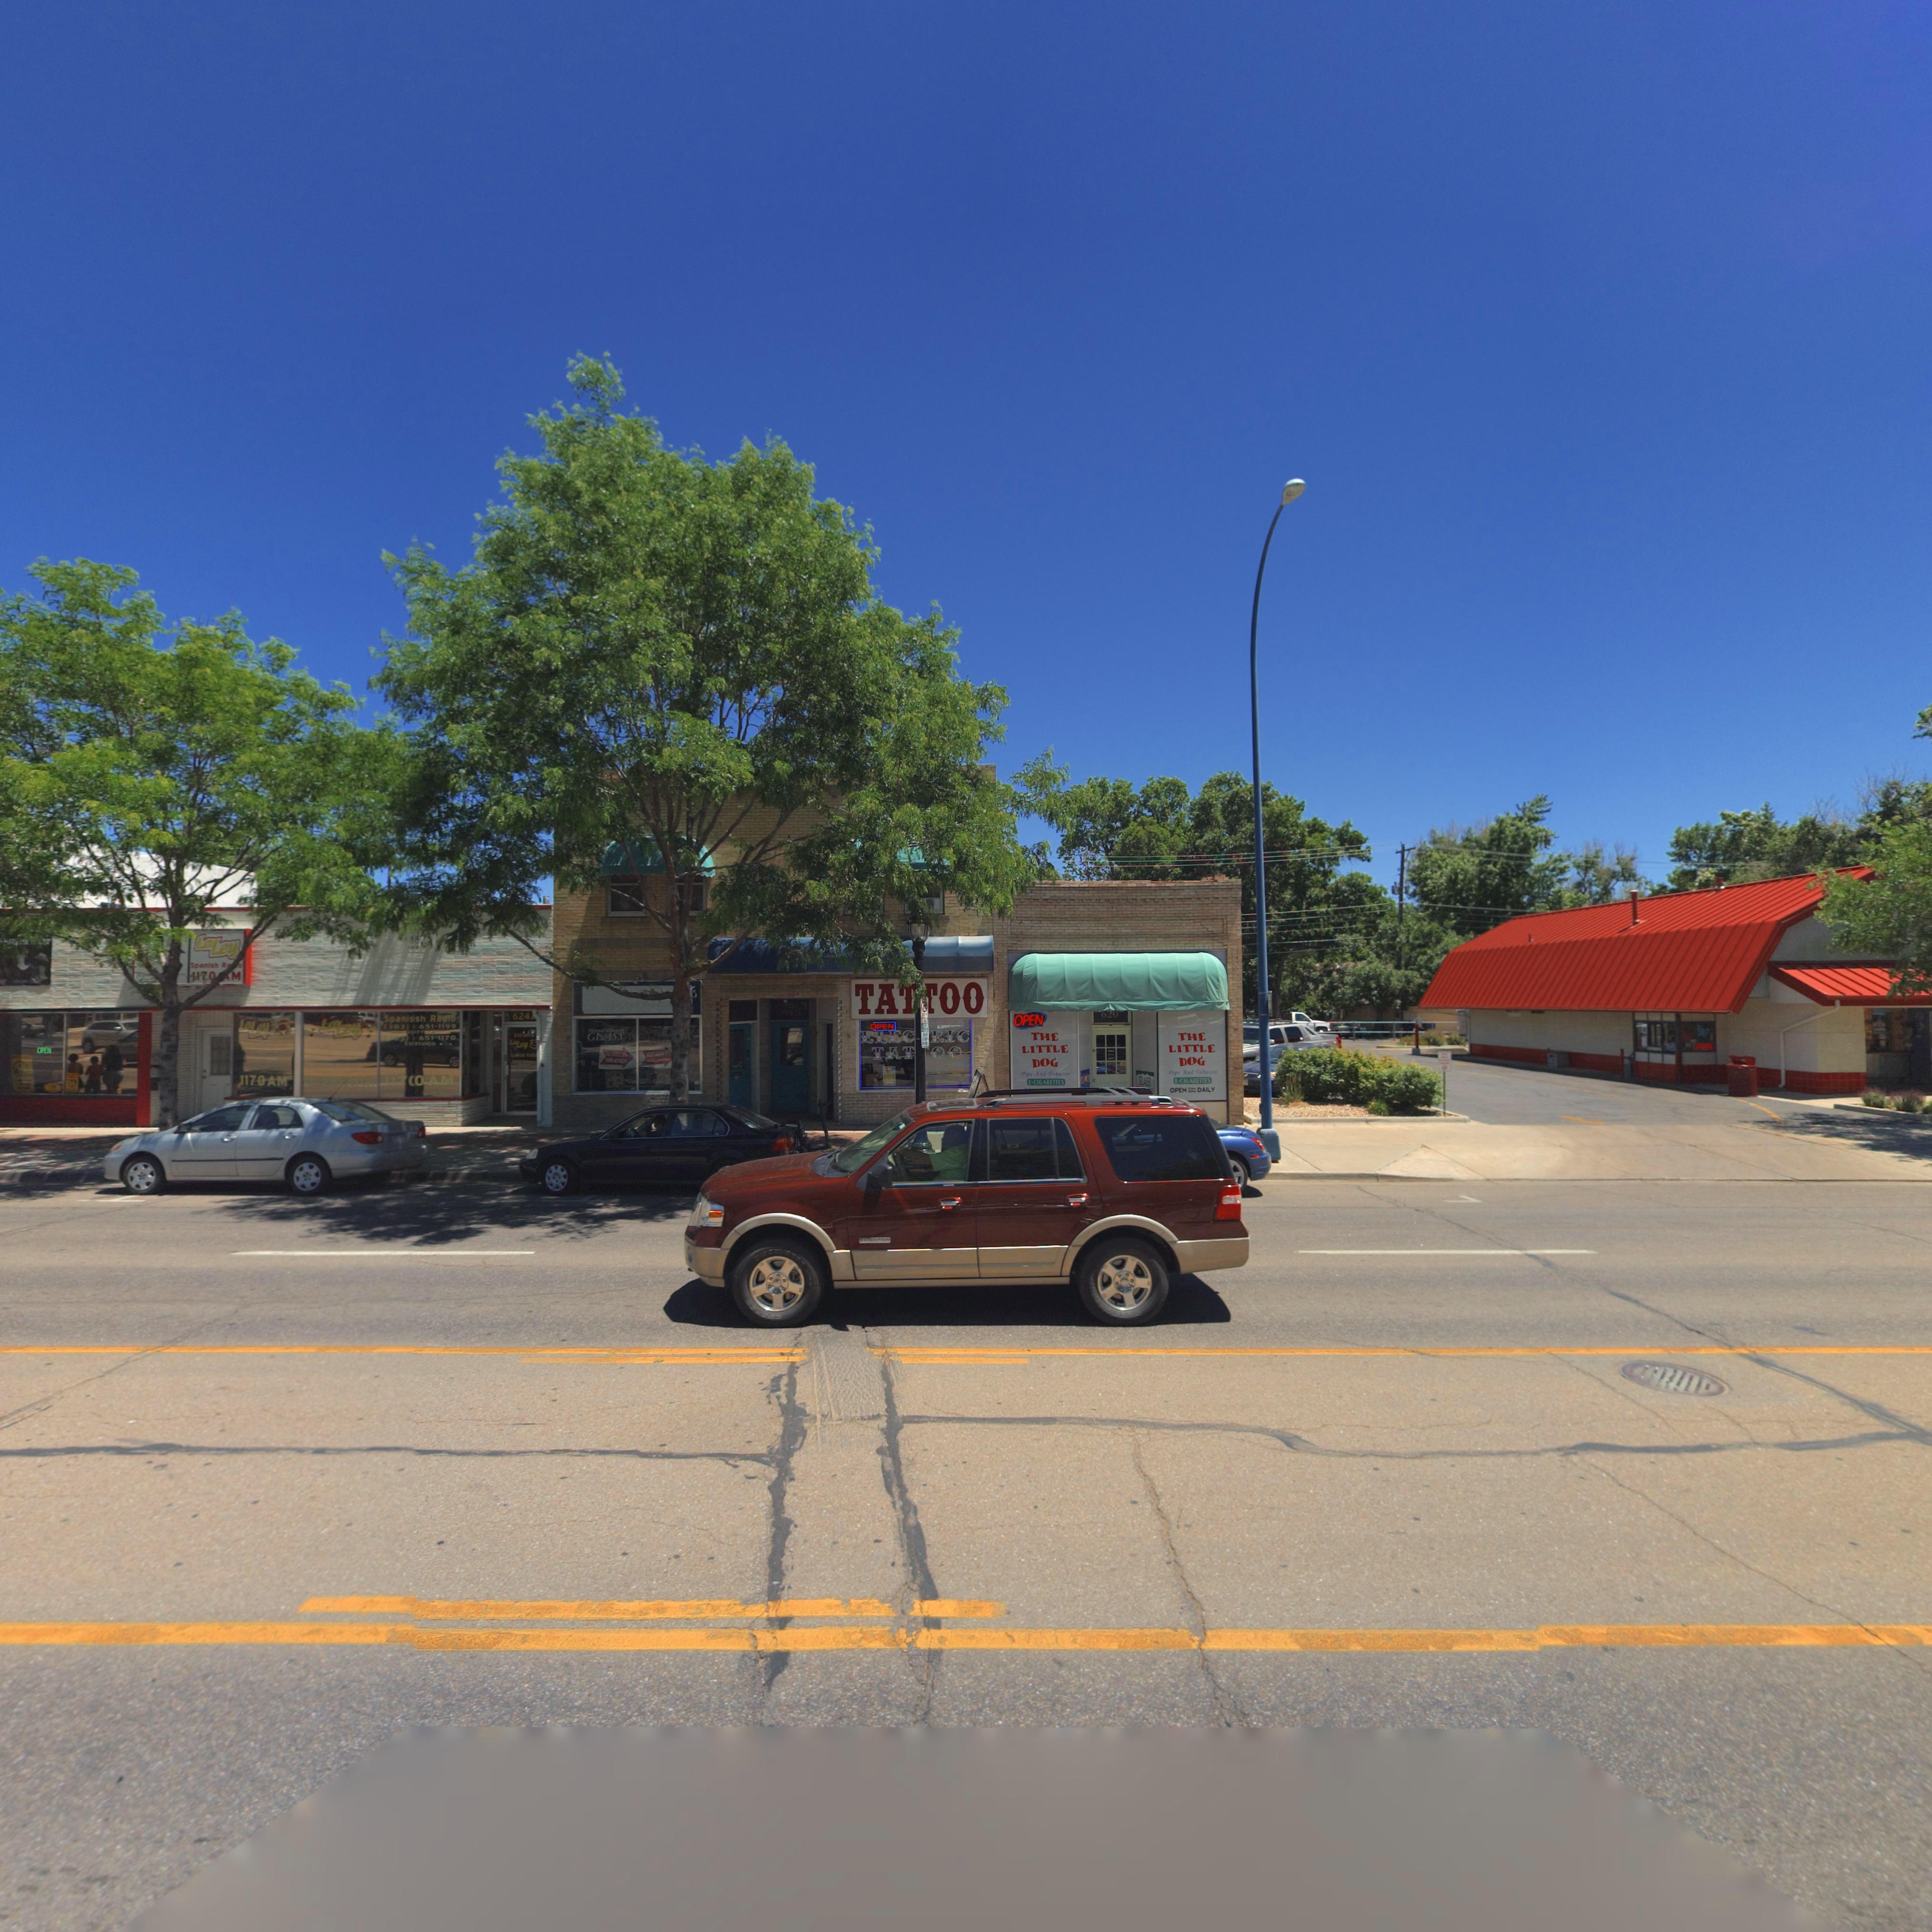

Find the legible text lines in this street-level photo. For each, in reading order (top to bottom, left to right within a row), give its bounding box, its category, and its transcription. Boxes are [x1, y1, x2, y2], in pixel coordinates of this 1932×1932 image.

[7, 938, 51, 945] BusinessName: n **ar
[196, 936, 238, 957] BusinessName: LaLey
[192, 971, 241, 980] BusinessName: 1170 *M
[854, 981, 985, 1014] BusinessName: TATTOO
[599, 1000, 672, 1011] BusinessName: Pipe And Tobacco
[512, 1012, 531, 1020] StreetNumber: 624
[1101, 1010, 1118, 1018] StreetNumber: 620
[240, 1018, 270, 1039] BusinessName: LeLey
[319, 1017, 362, 1037] BusinessName: LaLey
[860, 1030, 970, 1044] BusinessName: ELEC*TIC
[1031, 1032, 1059, 1041] BusinessName: THE
[1178, 1032, 1206, 1041] BusinessName: THE
[509, 1039, 528, 1049] BusinessName: La Ley
[647, 1052, 654, 1057] StreetNumber: 620
[655, 1051, 670, 1056] StreetName: **** ST
[871, 1046, 963, 1060] BusinessName: tAT*OO
[1022, 1044, 1069, 1053] BusinessName: LITTLE
[1168, 1043, 1215, 1053] BusinessName: LITTLE
[1032, 1057, 1059, 1068] StreetNumber: DOG
[1179, 1056, 1205, 1066] BusinessName: DOG
[1020, 1070, 1070, 1078] BusinessName: Pipe And Tobacco
[1169, 1068, 1217, 1077] BusinessName: Pipe And Tobacco
[239, 1074, 287, 1087] BusinessName: 1170 AM
[384, 1074, 454, 1086] BusinessName: 1170 AM